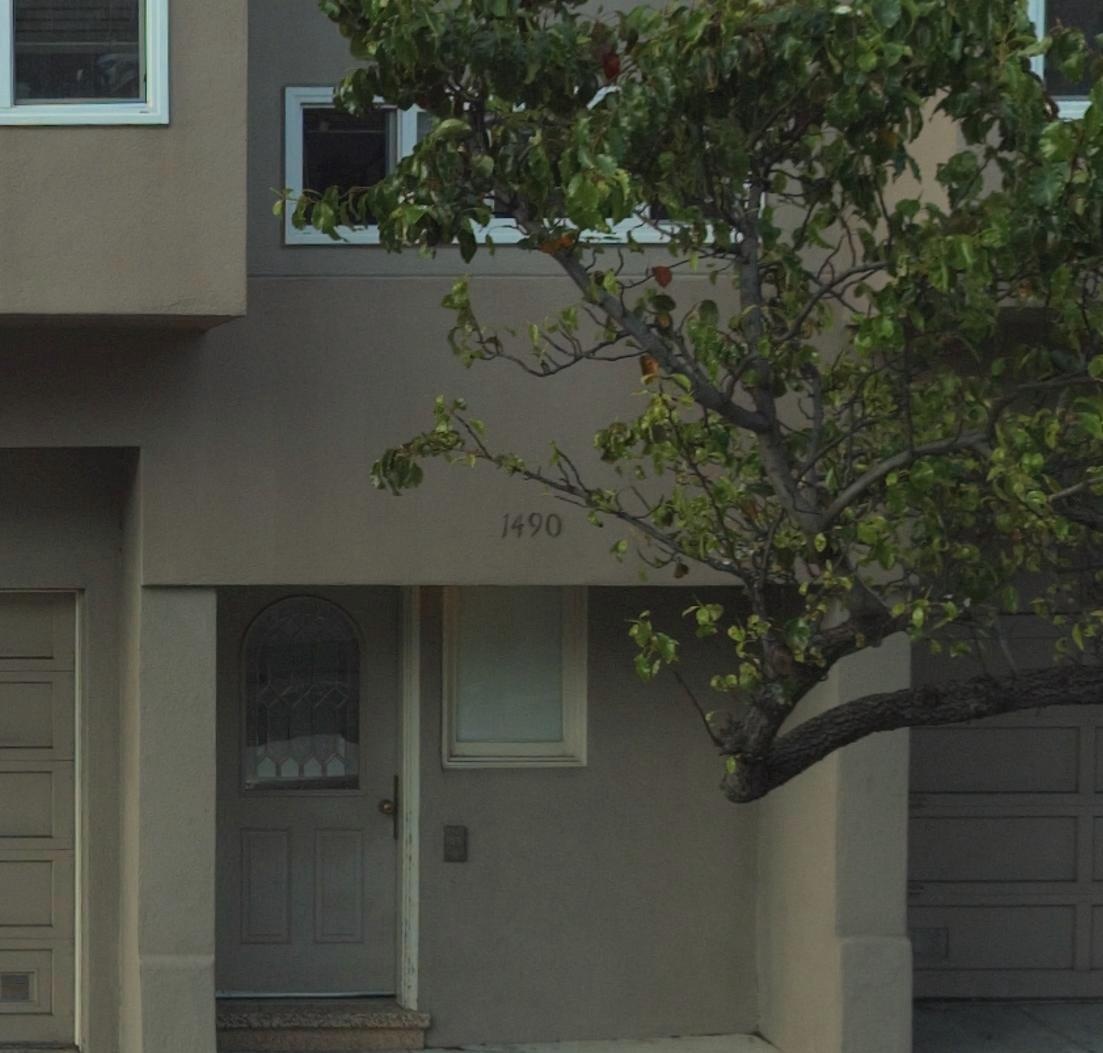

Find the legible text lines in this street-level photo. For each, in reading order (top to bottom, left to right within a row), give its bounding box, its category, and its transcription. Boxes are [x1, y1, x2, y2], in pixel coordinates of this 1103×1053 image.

[498, 509, 565, 542] StreetNumber: 1490